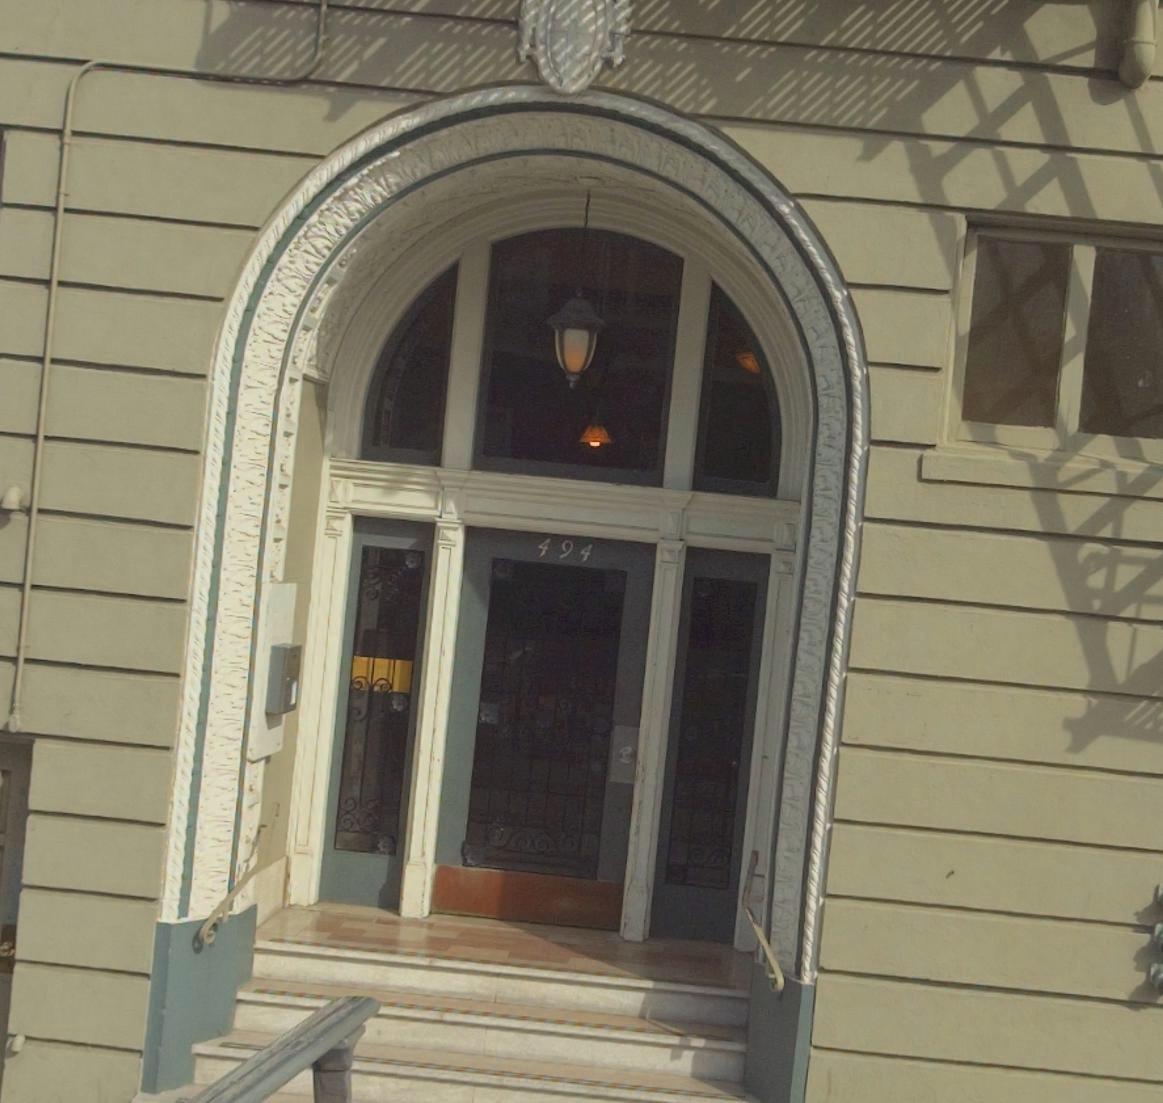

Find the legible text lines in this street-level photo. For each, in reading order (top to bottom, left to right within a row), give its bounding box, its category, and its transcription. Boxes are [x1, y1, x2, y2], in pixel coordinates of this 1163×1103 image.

[536, 536, 595, 564] StreetNumber: 494